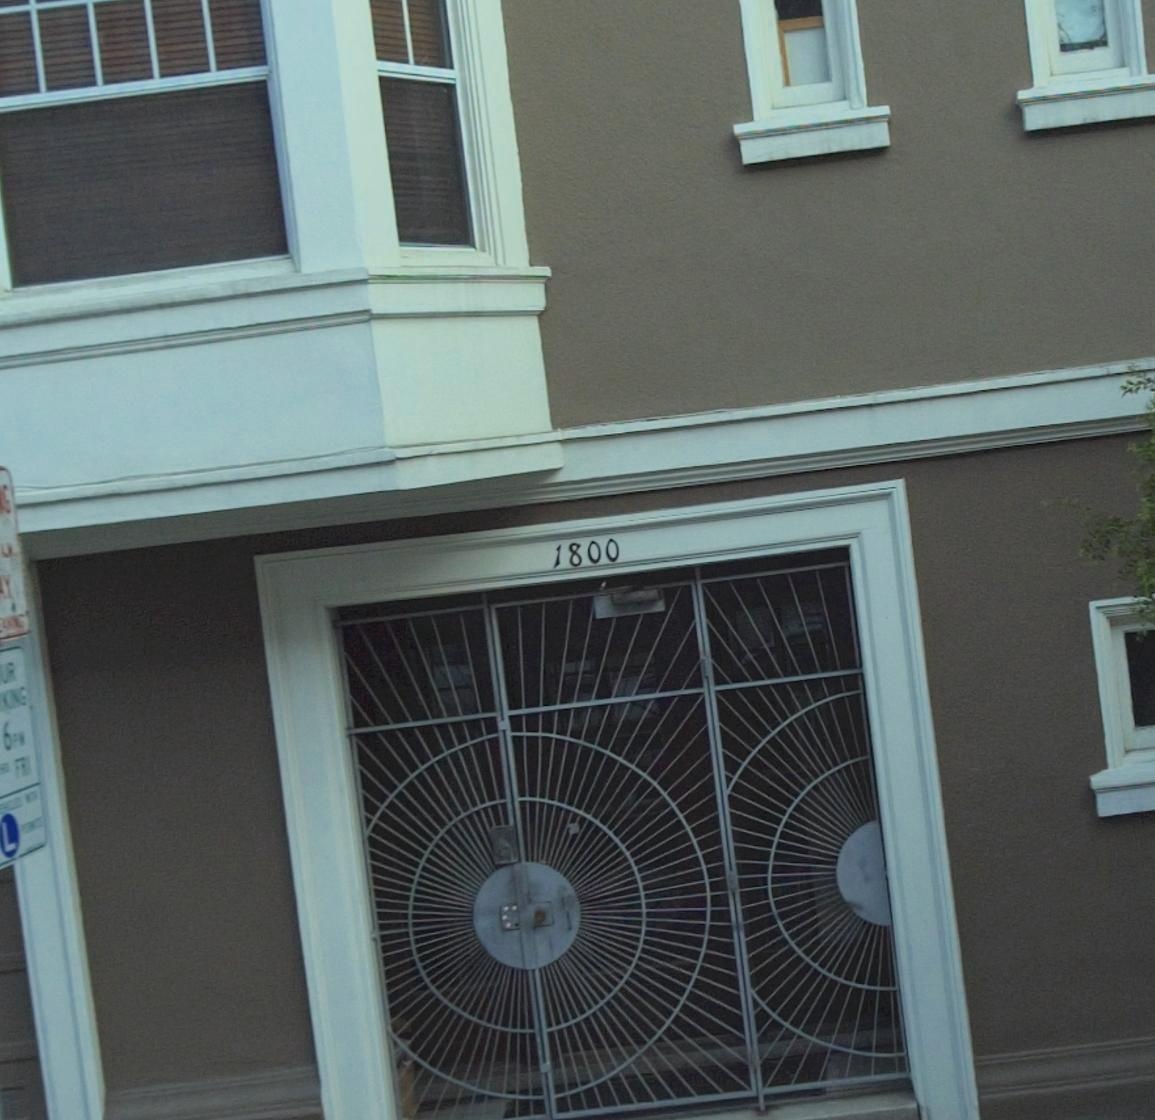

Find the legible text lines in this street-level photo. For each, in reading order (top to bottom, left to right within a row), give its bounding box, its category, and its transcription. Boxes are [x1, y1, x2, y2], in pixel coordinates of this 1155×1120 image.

[549, 534, 622, 572] StreetNumber: 1800
[1, 718, 15, 755] None: 6
[0, 819, 19, 856] None: L